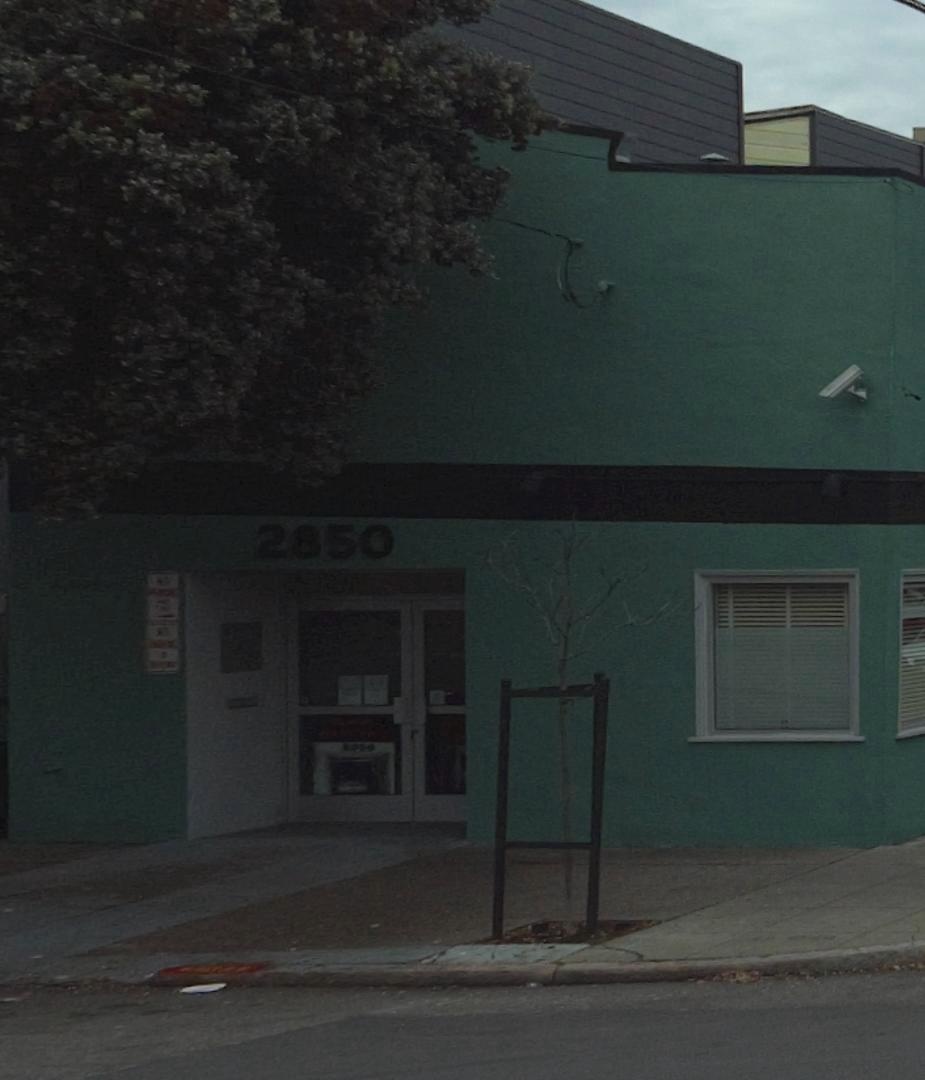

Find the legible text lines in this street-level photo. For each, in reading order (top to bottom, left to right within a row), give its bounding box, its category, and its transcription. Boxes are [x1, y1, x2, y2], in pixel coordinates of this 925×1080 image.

[253, 521, 395, 562] StreetNumber: 2850